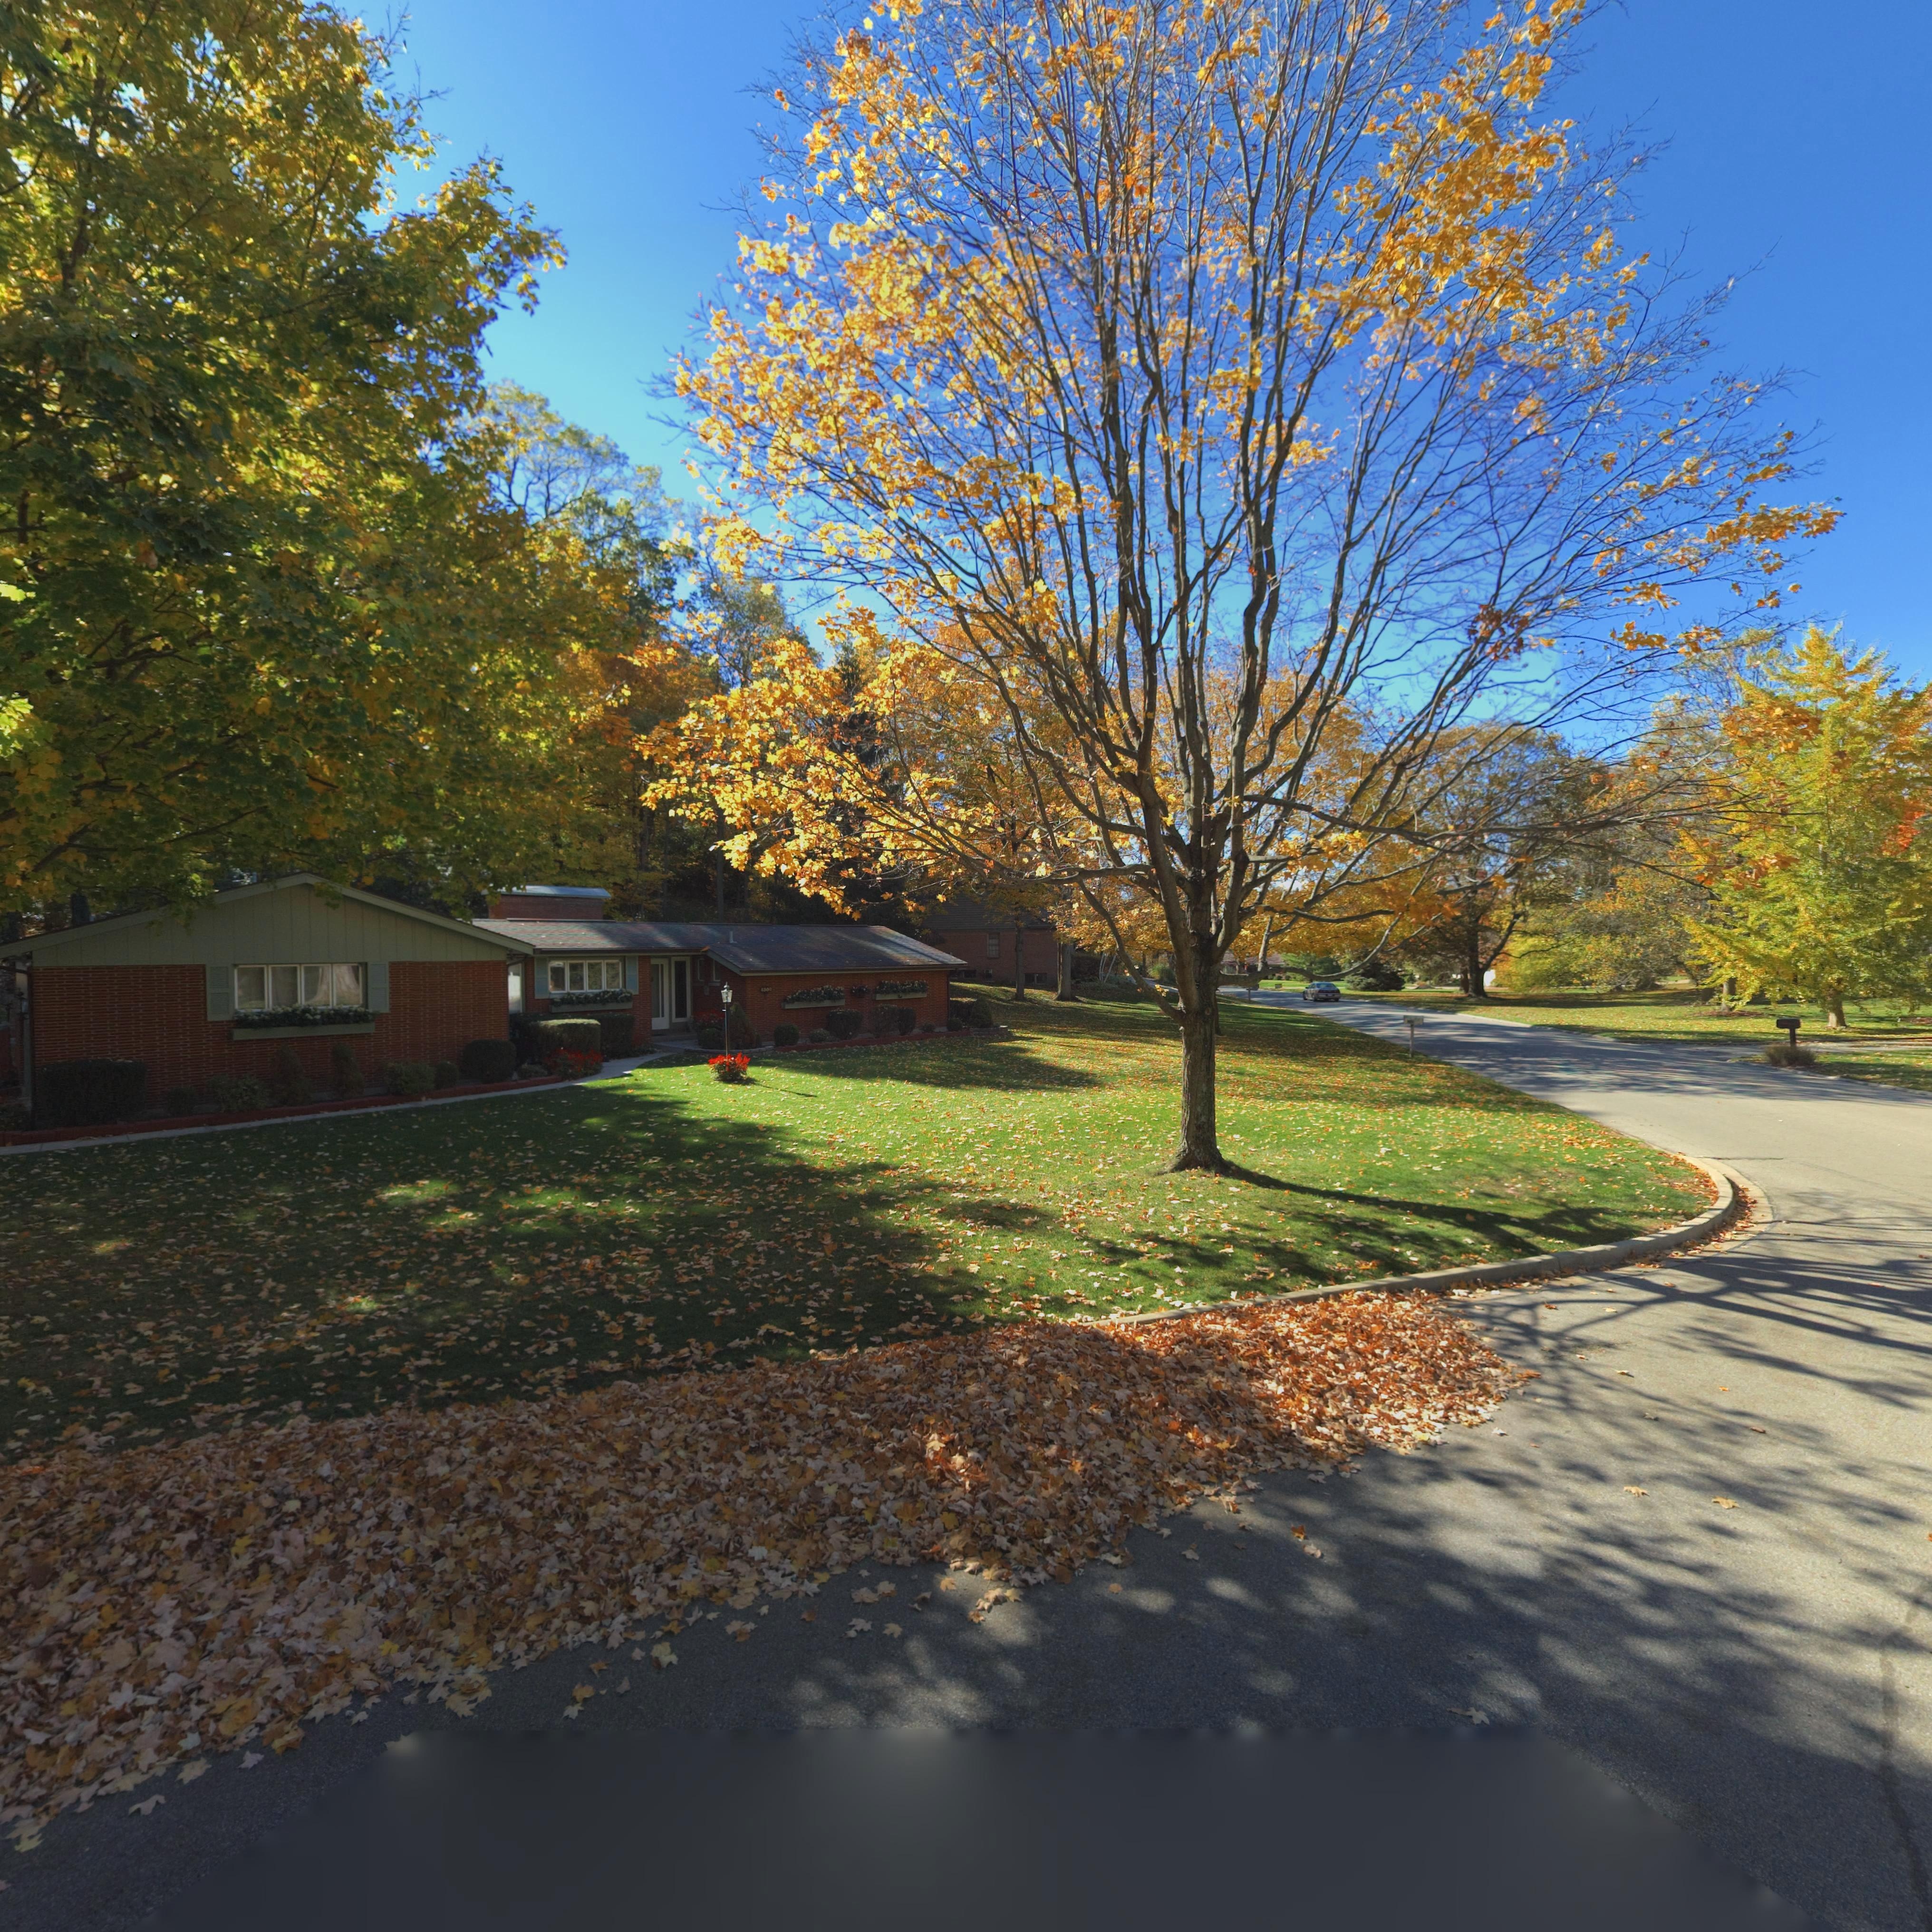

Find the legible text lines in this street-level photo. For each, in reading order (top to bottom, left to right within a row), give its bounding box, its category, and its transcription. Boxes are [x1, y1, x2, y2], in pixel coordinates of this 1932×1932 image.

[760, 987, 772, 992] StreetNumber: 4300